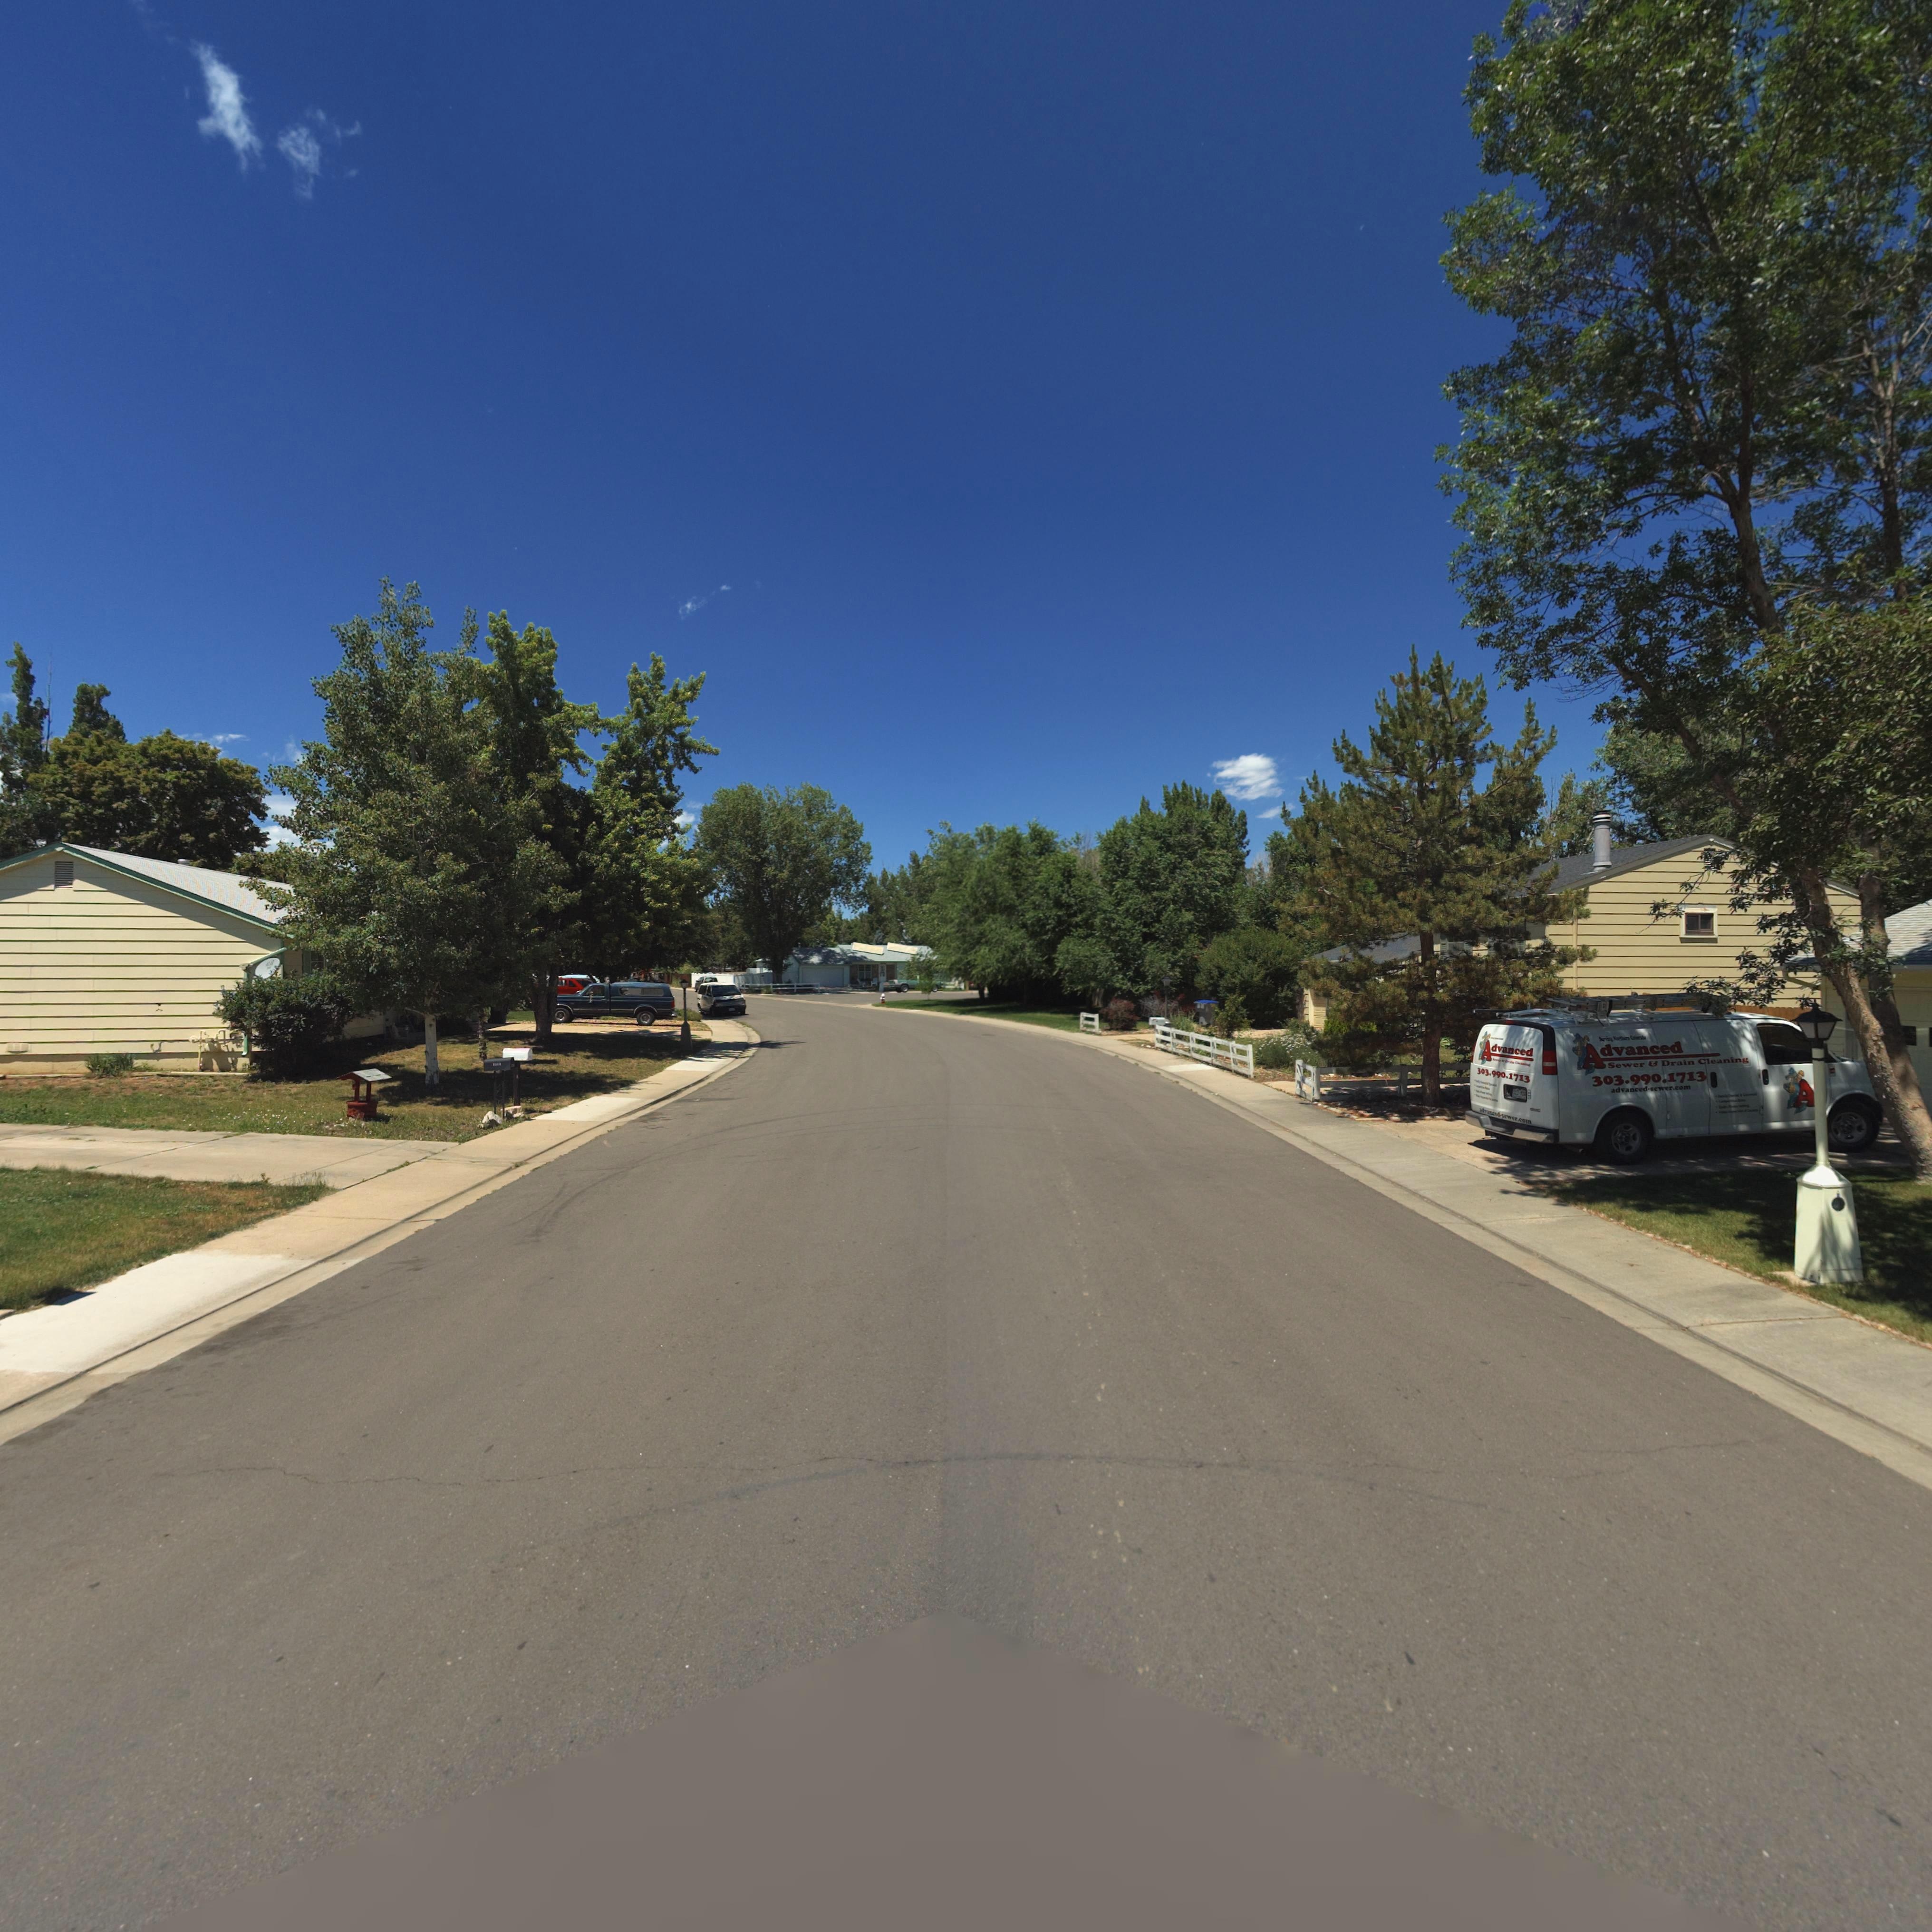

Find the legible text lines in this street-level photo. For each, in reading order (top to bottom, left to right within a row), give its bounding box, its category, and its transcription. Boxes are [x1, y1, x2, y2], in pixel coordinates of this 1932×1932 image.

[492, 1062, 501, 1066] StreetNumber: 2*1*